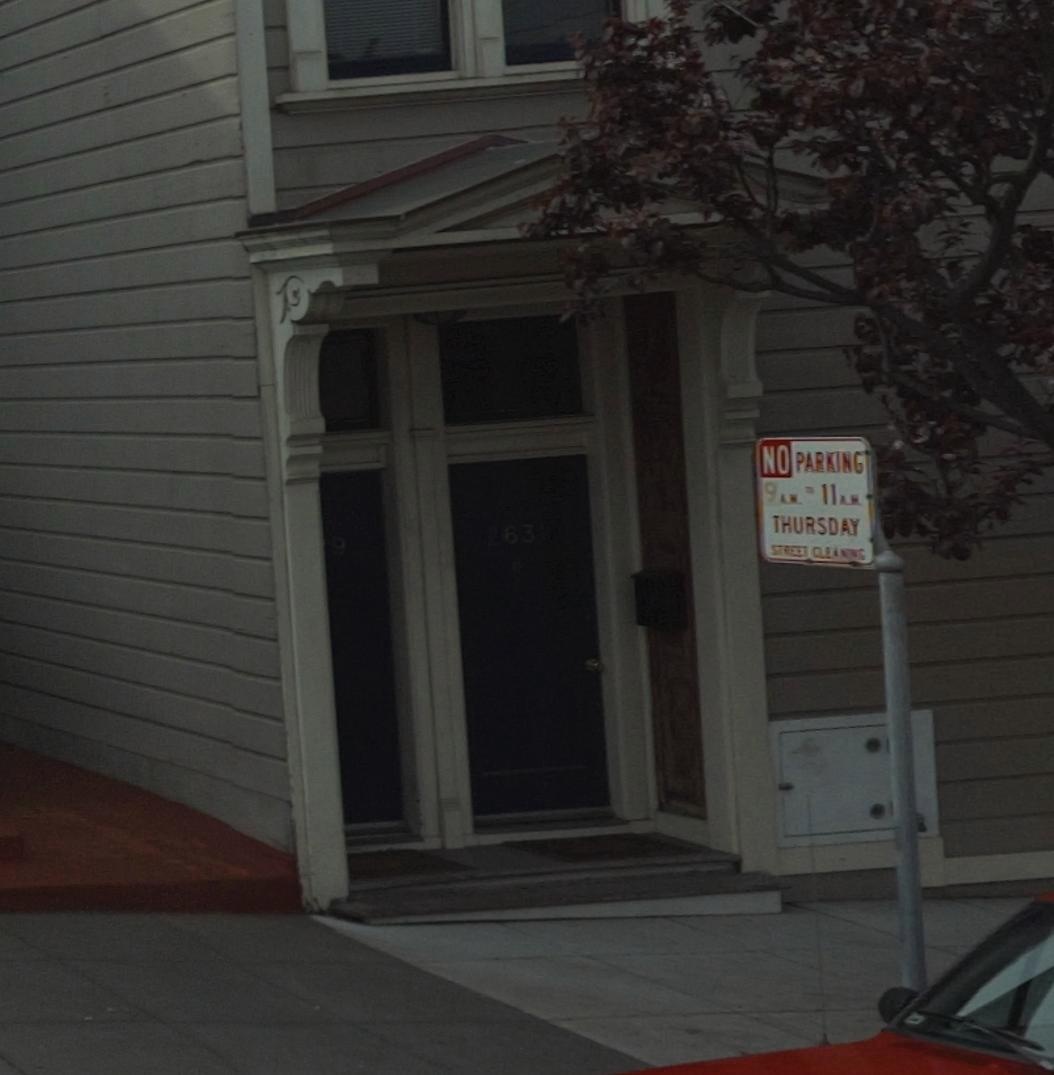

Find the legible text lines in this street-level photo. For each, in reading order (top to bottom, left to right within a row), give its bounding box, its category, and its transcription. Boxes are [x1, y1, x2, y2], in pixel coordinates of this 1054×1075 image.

[759, 443, 867, 477] None: NO PARKING
[764, 480, 865, 506] None: 9AM*11AM
[484, 518, 551, 550] StreetNumber: 2631
[770, 511, 864, 538] None: THURSDAY
[769, 542, 868, 562] None: STREET CLEAN***